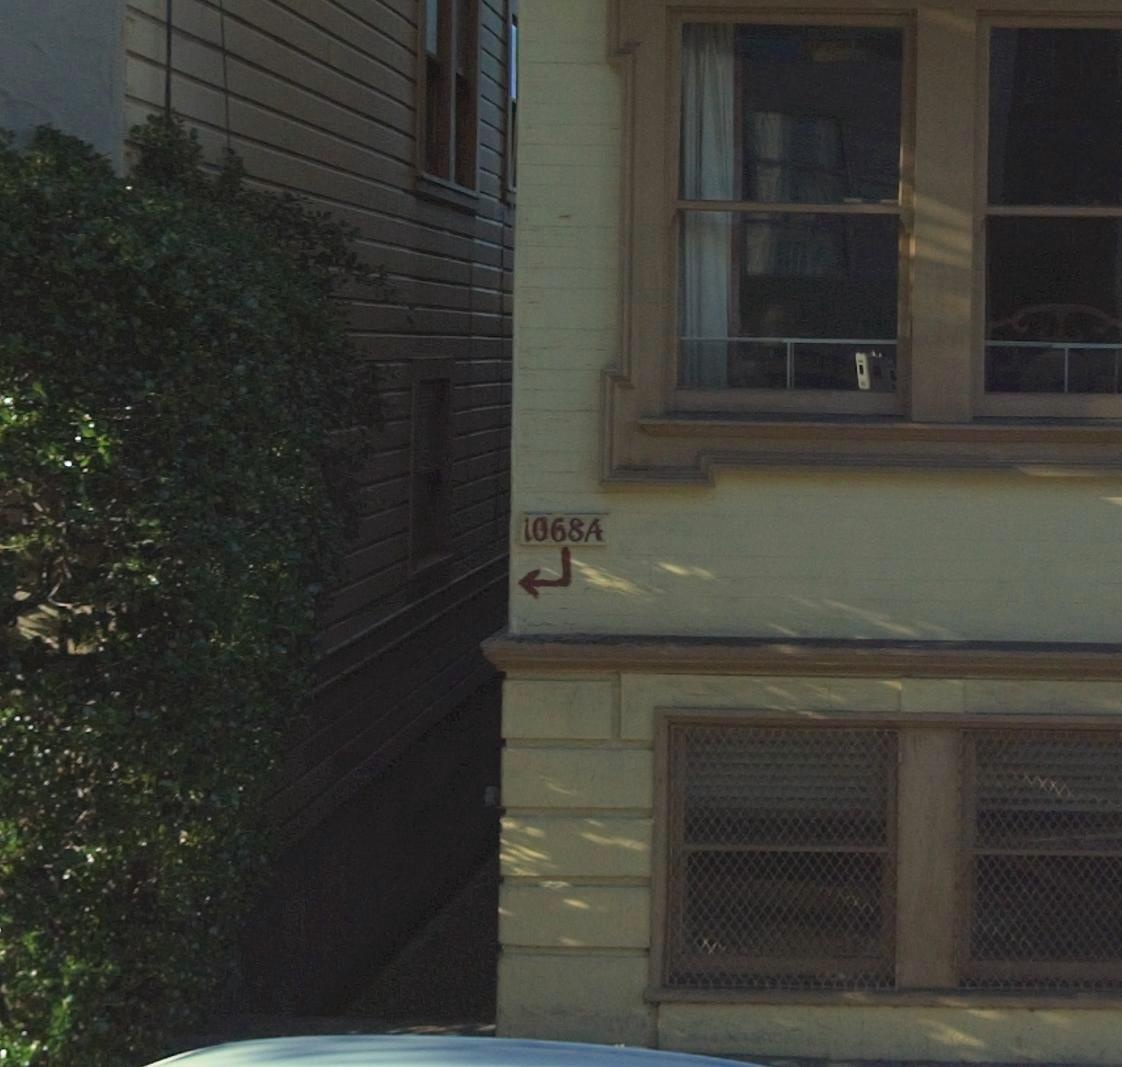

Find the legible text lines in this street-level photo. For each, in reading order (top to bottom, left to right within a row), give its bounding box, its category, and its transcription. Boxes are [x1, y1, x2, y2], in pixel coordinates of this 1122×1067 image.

[520, 514, 603, 545] StreetNumber: 1068A